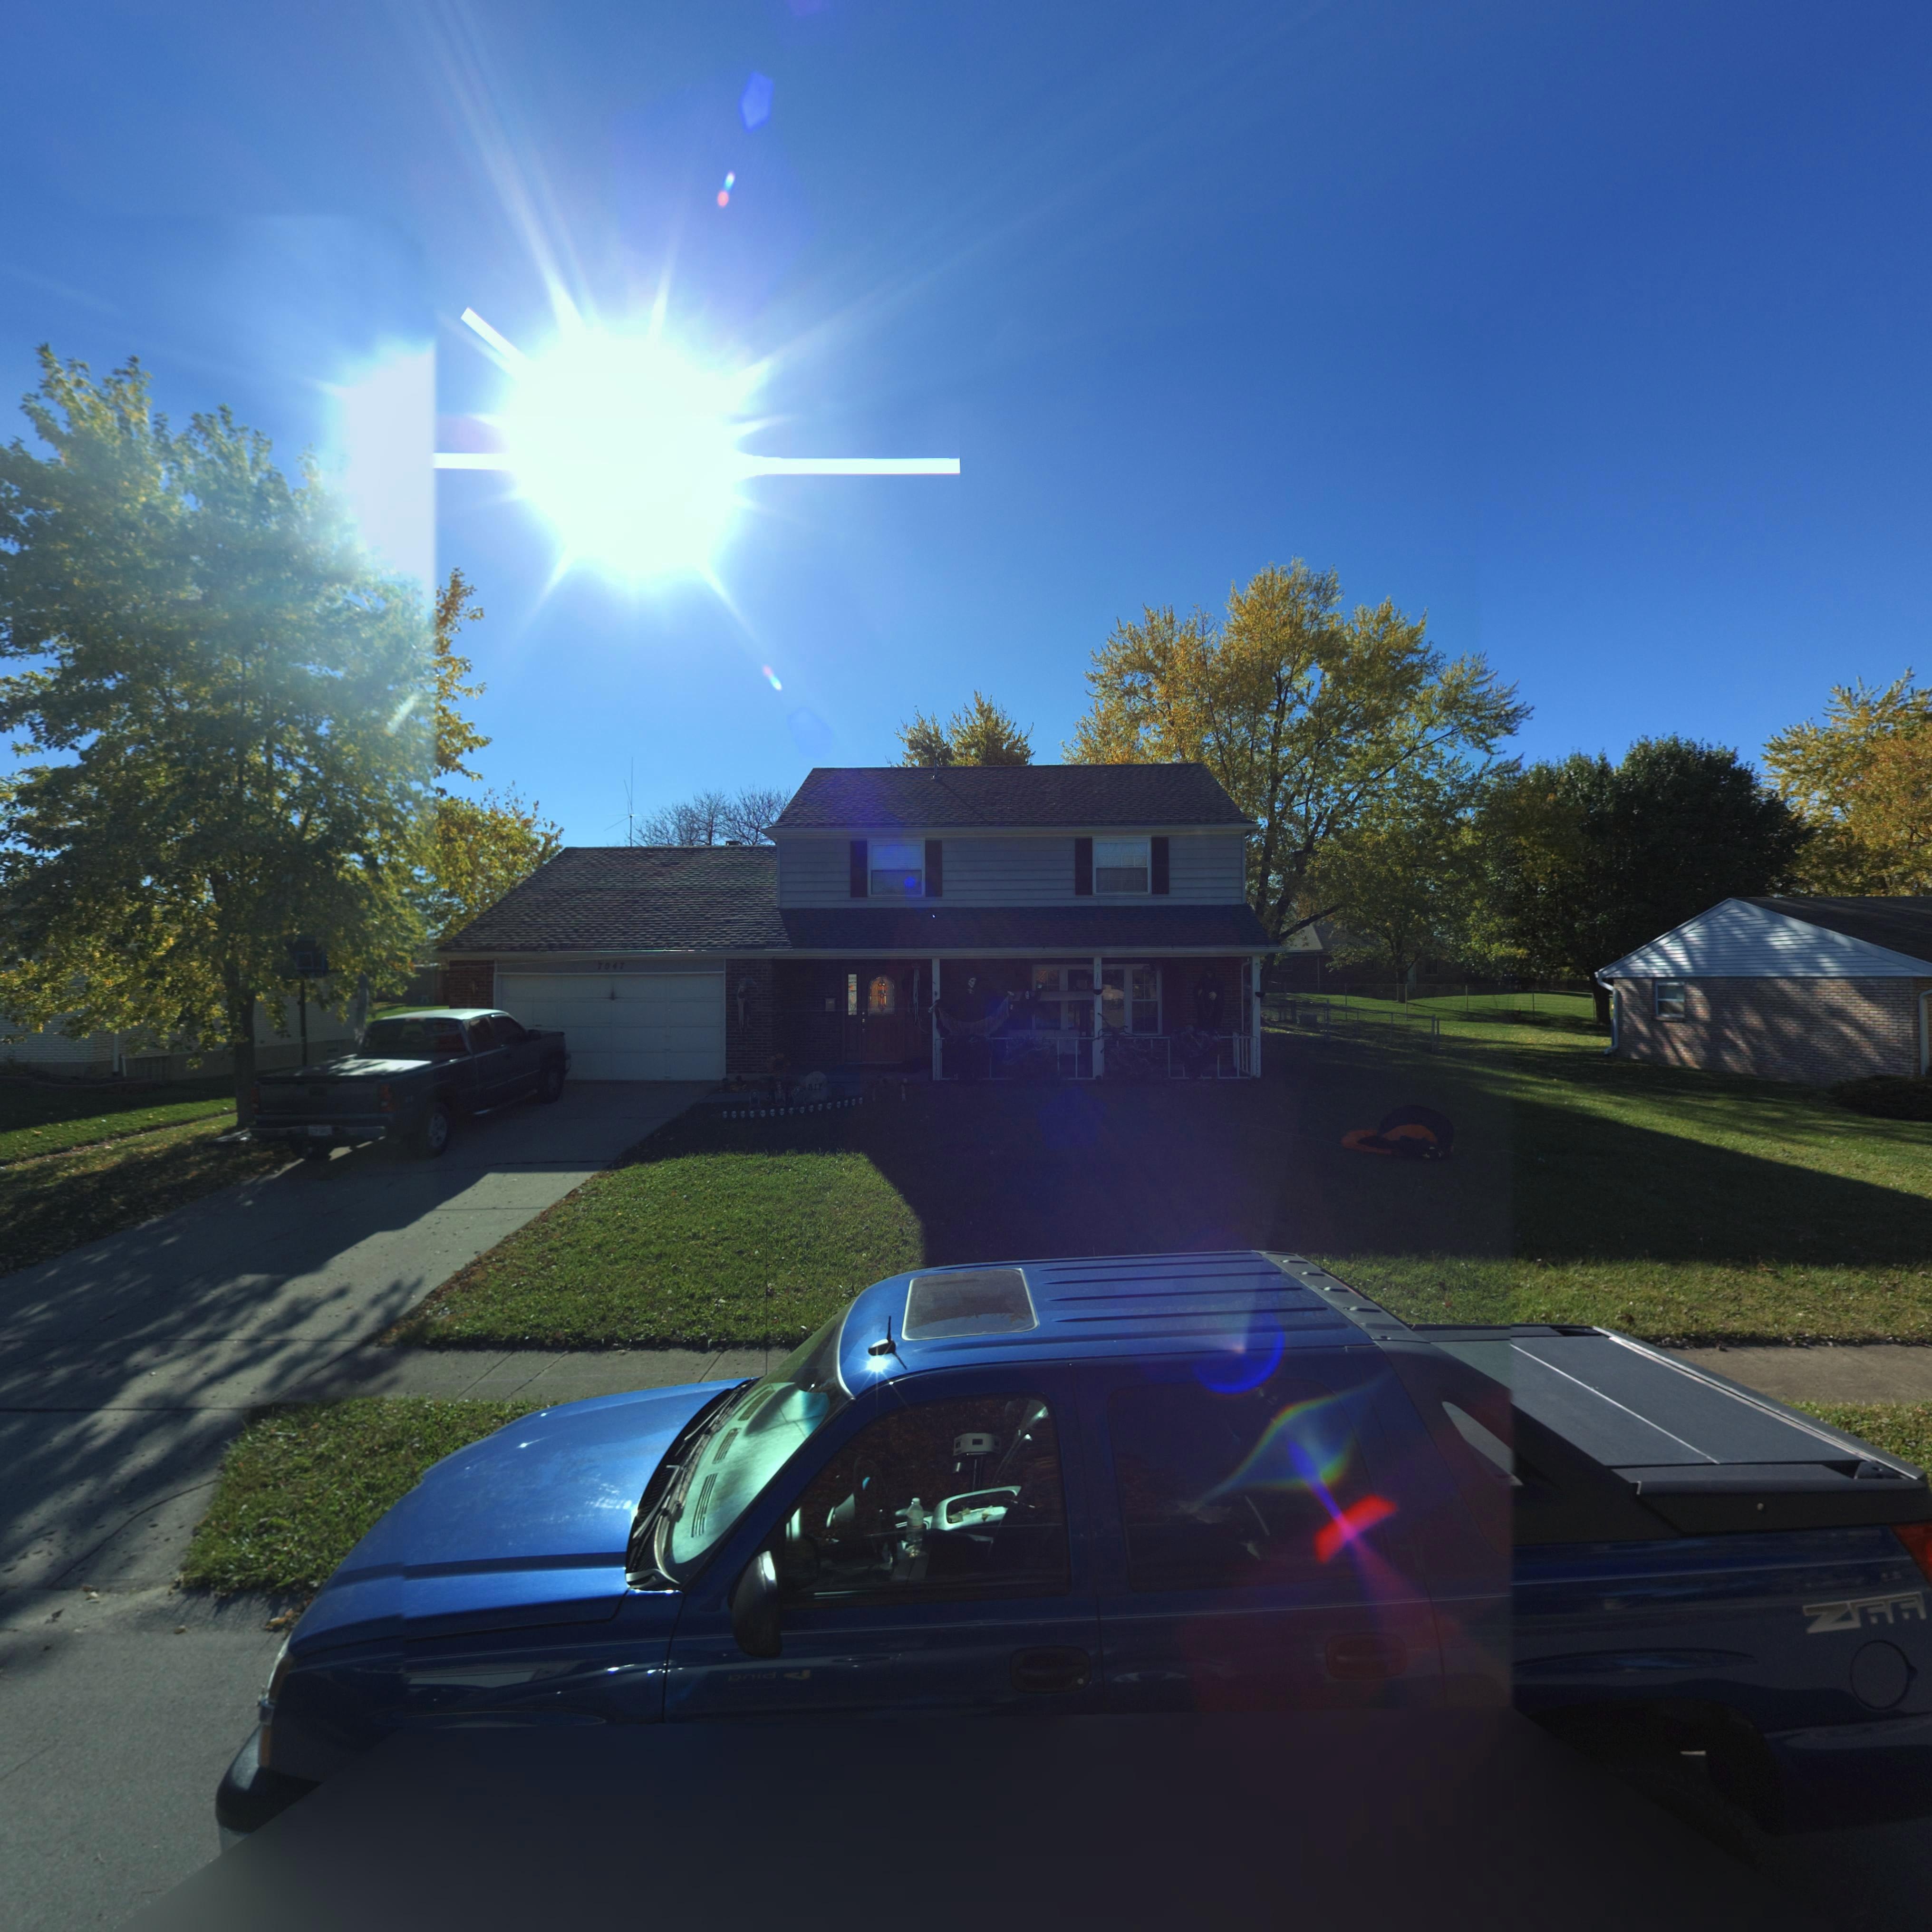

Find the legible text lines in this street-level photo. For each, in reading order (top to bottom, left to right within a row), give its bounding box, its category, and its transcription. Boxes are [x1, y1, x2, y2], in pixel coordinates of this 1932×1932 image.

[597, 962, 625, 970] StreetNumber: 7047